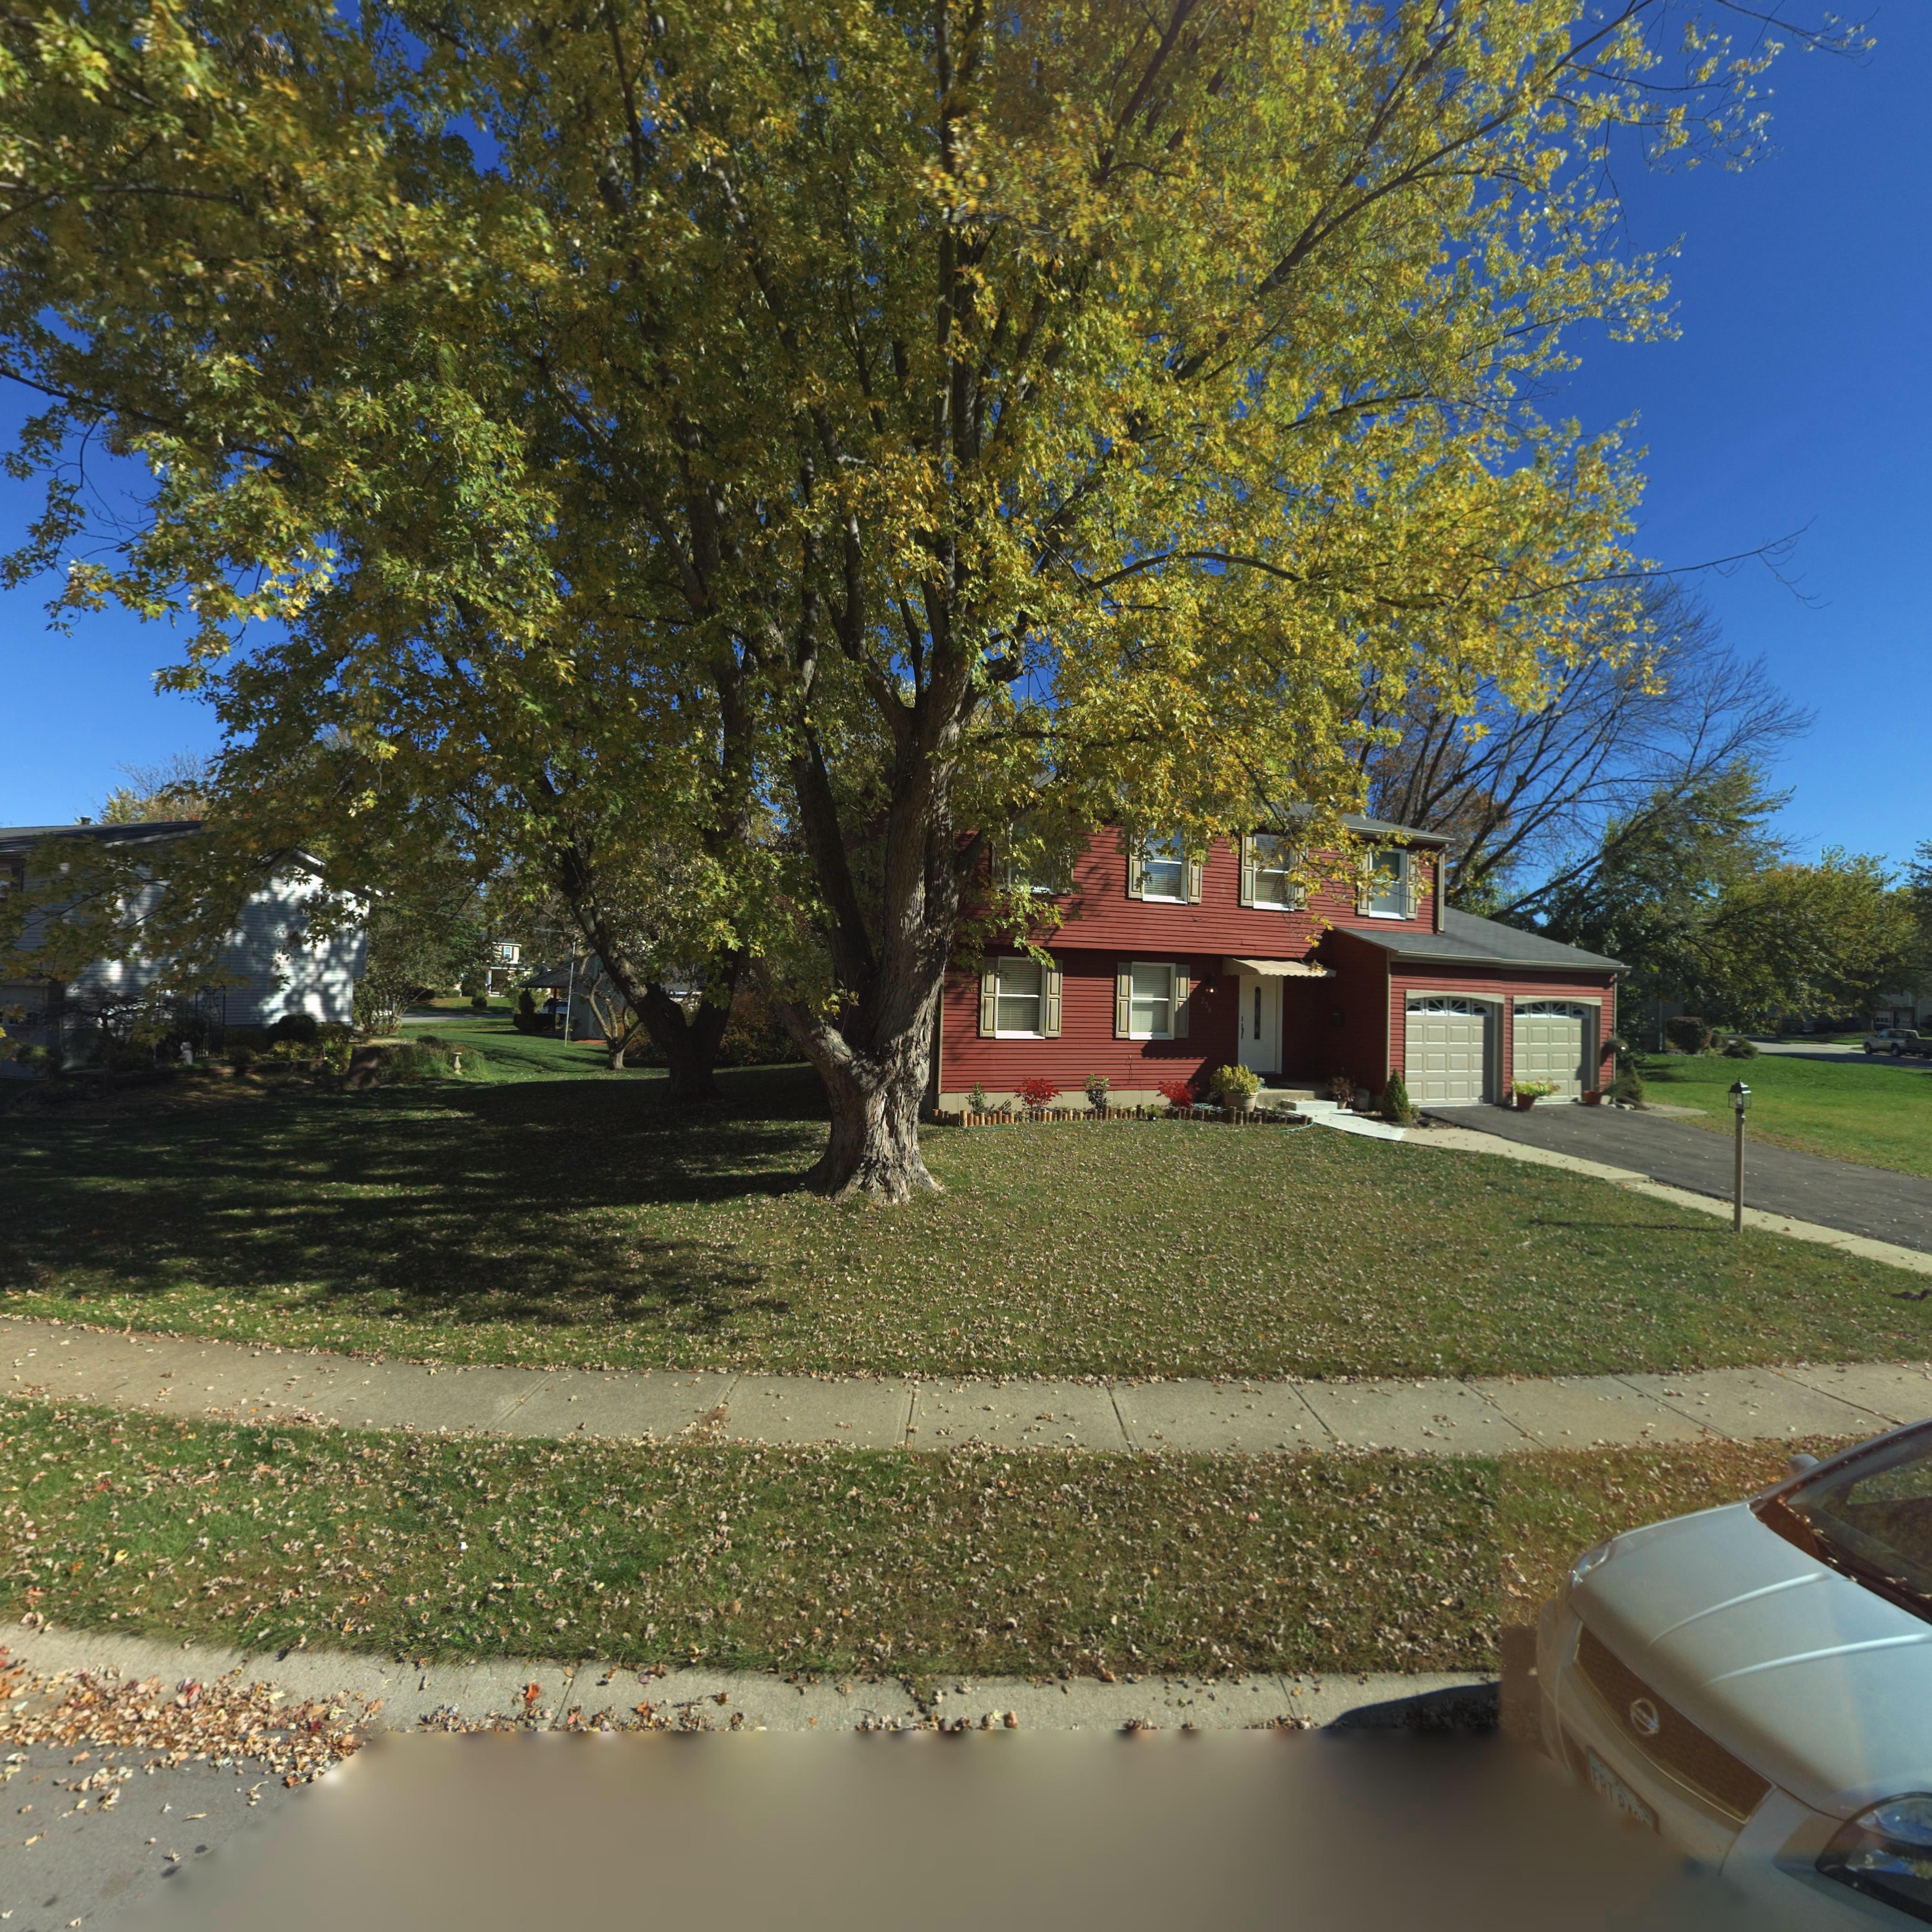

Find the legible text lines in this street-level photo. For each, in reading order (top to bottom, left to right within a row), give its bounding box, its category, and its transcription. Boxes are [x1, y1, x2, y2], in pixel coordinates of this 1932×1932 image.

[1199, 995, 1213, 1014] StreetNumber: 208